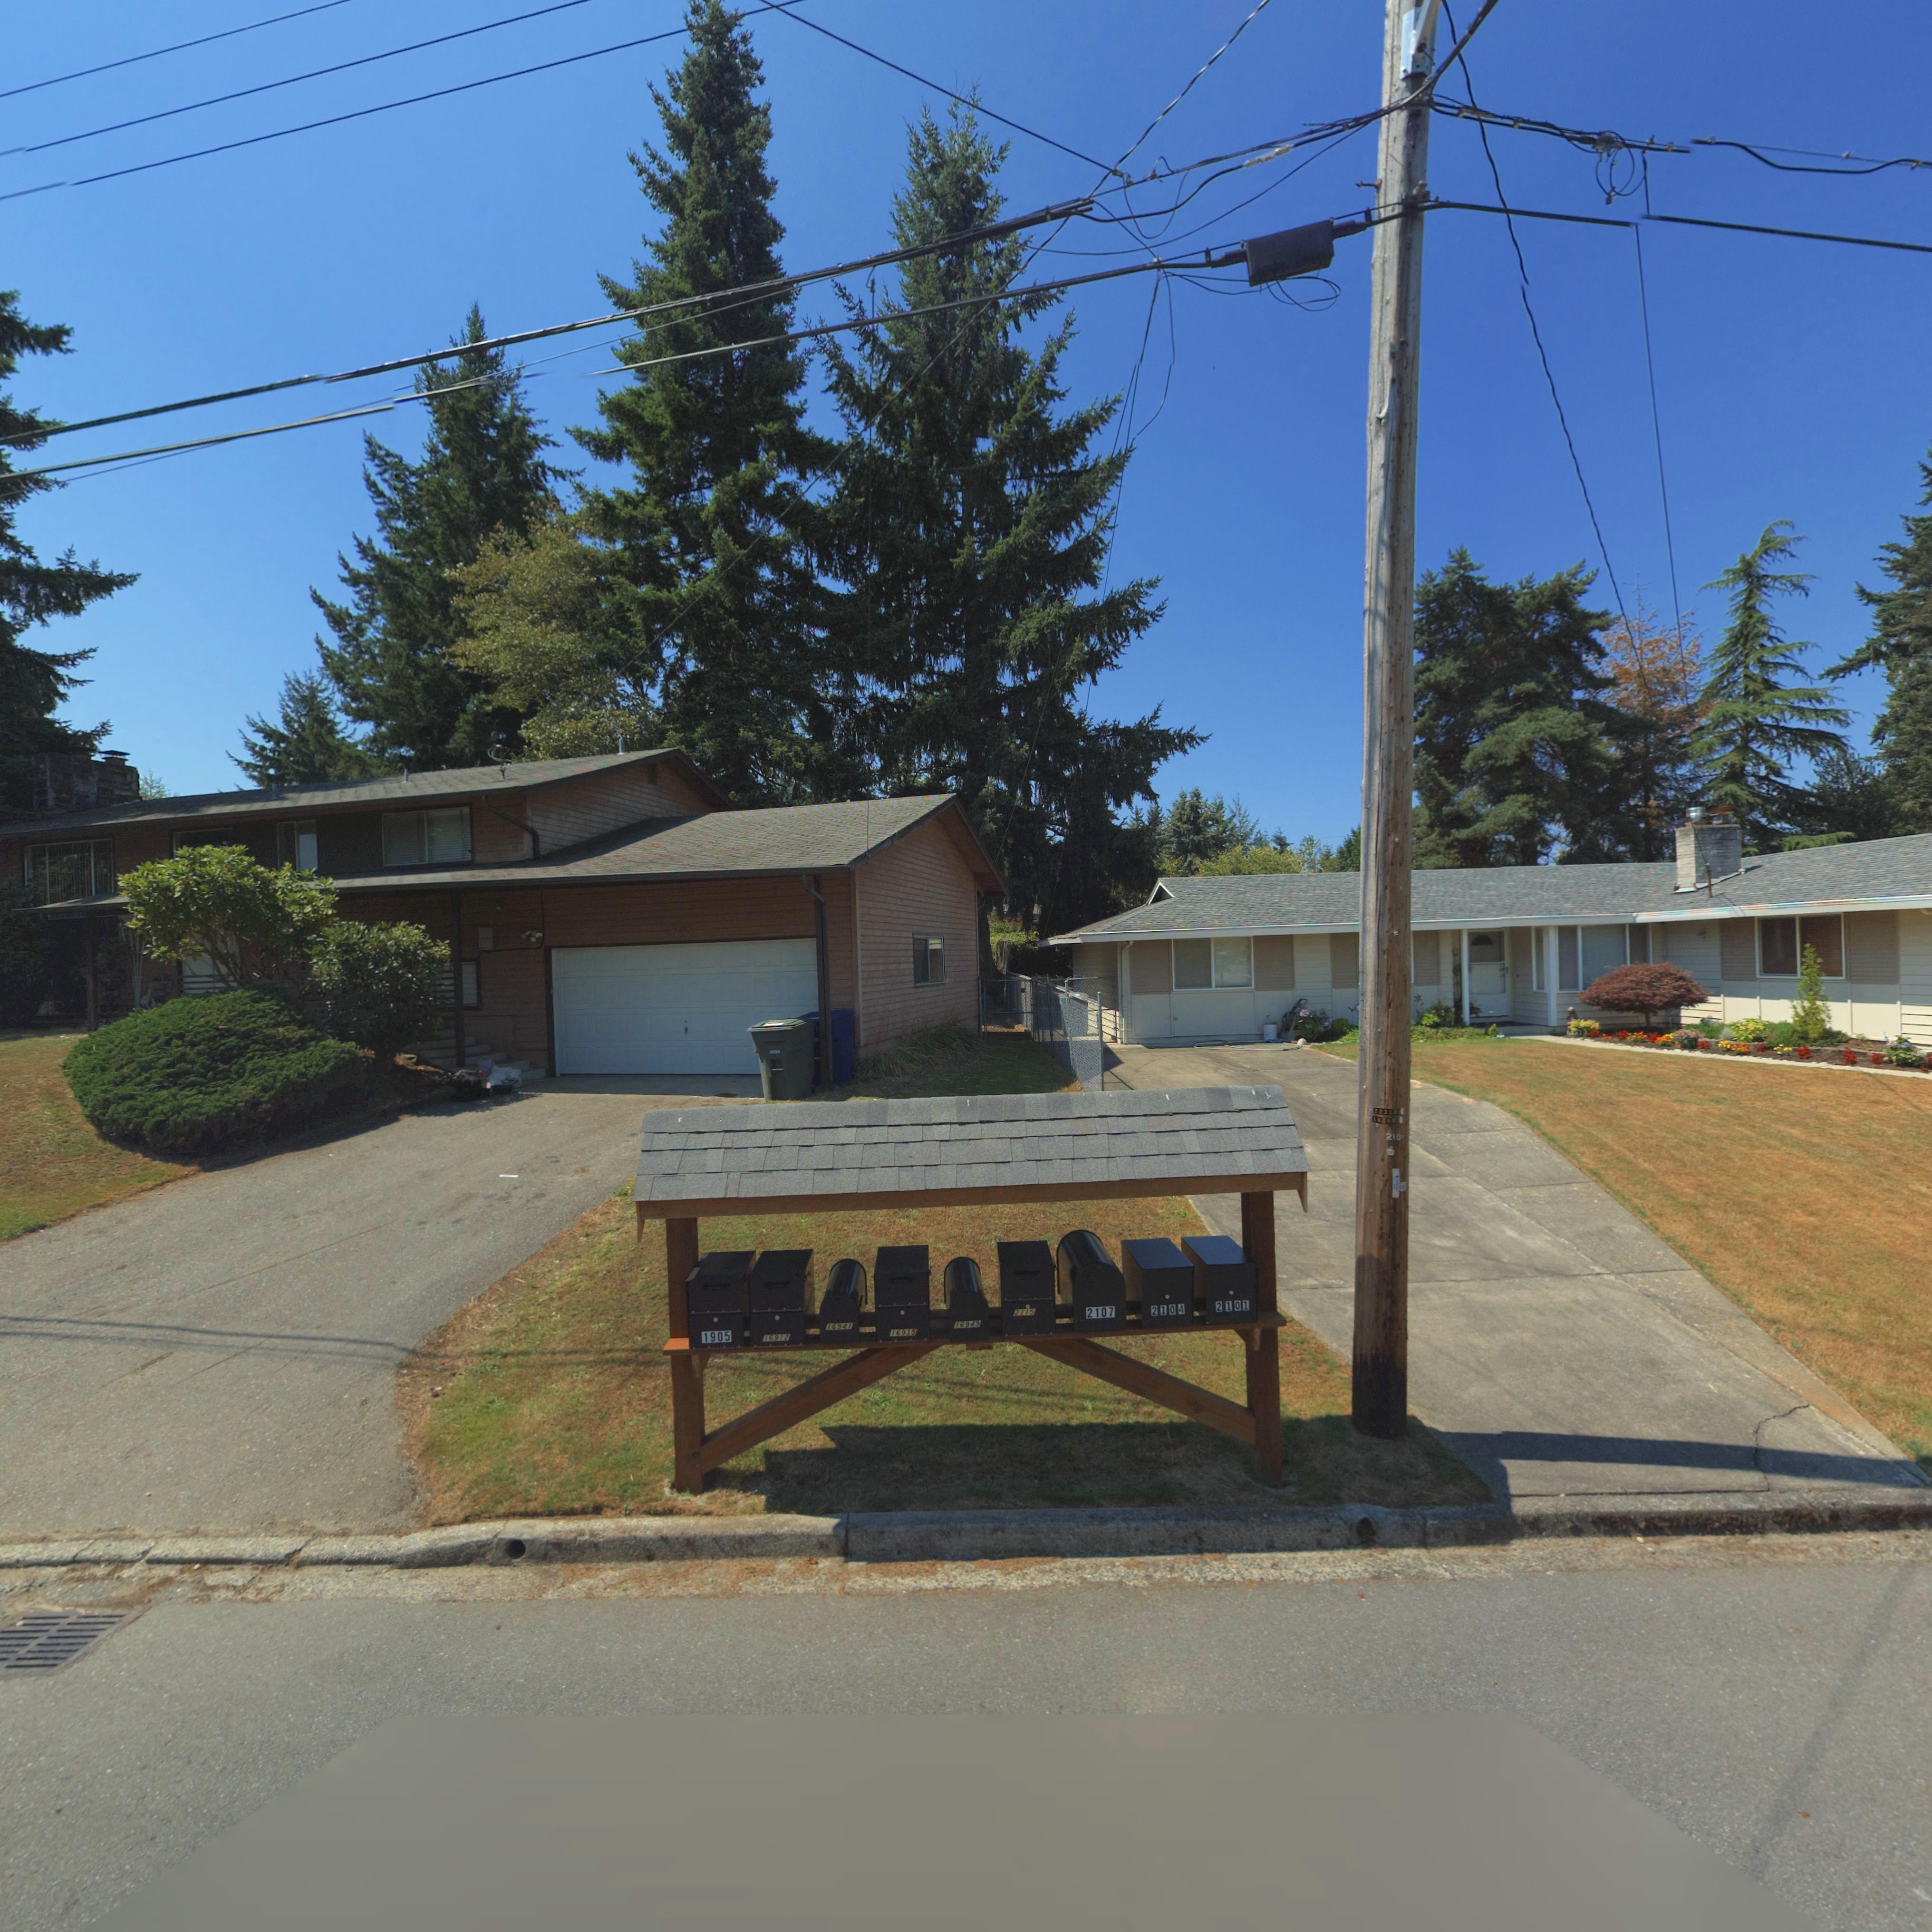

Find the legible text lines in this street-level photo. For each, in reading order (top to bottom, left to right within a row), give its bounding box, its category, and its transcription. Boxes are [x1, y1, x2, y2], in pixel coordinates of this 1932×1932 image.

[1013, 1308, 1035, 1315] StreetNumber: 2115
[1086, 1306, 1115, 1318] StreetNumber: 2107
[1151, 1304, 1185, 1315] None: 2104
[1216, 1301, 1248, 1311] StreetNumber: 2101
[826, 1323, 852, 1329] StreetNumber: 16941
[954, 1320, 981, 1327] StreetNumber: 16949
[889, 1328, 917, 1336] StreetNumber: 16935
[704, 1331, 730, 1342] StreetNumber: 1905
[763, 1334, 789, 1341] StreetNumber: 16912